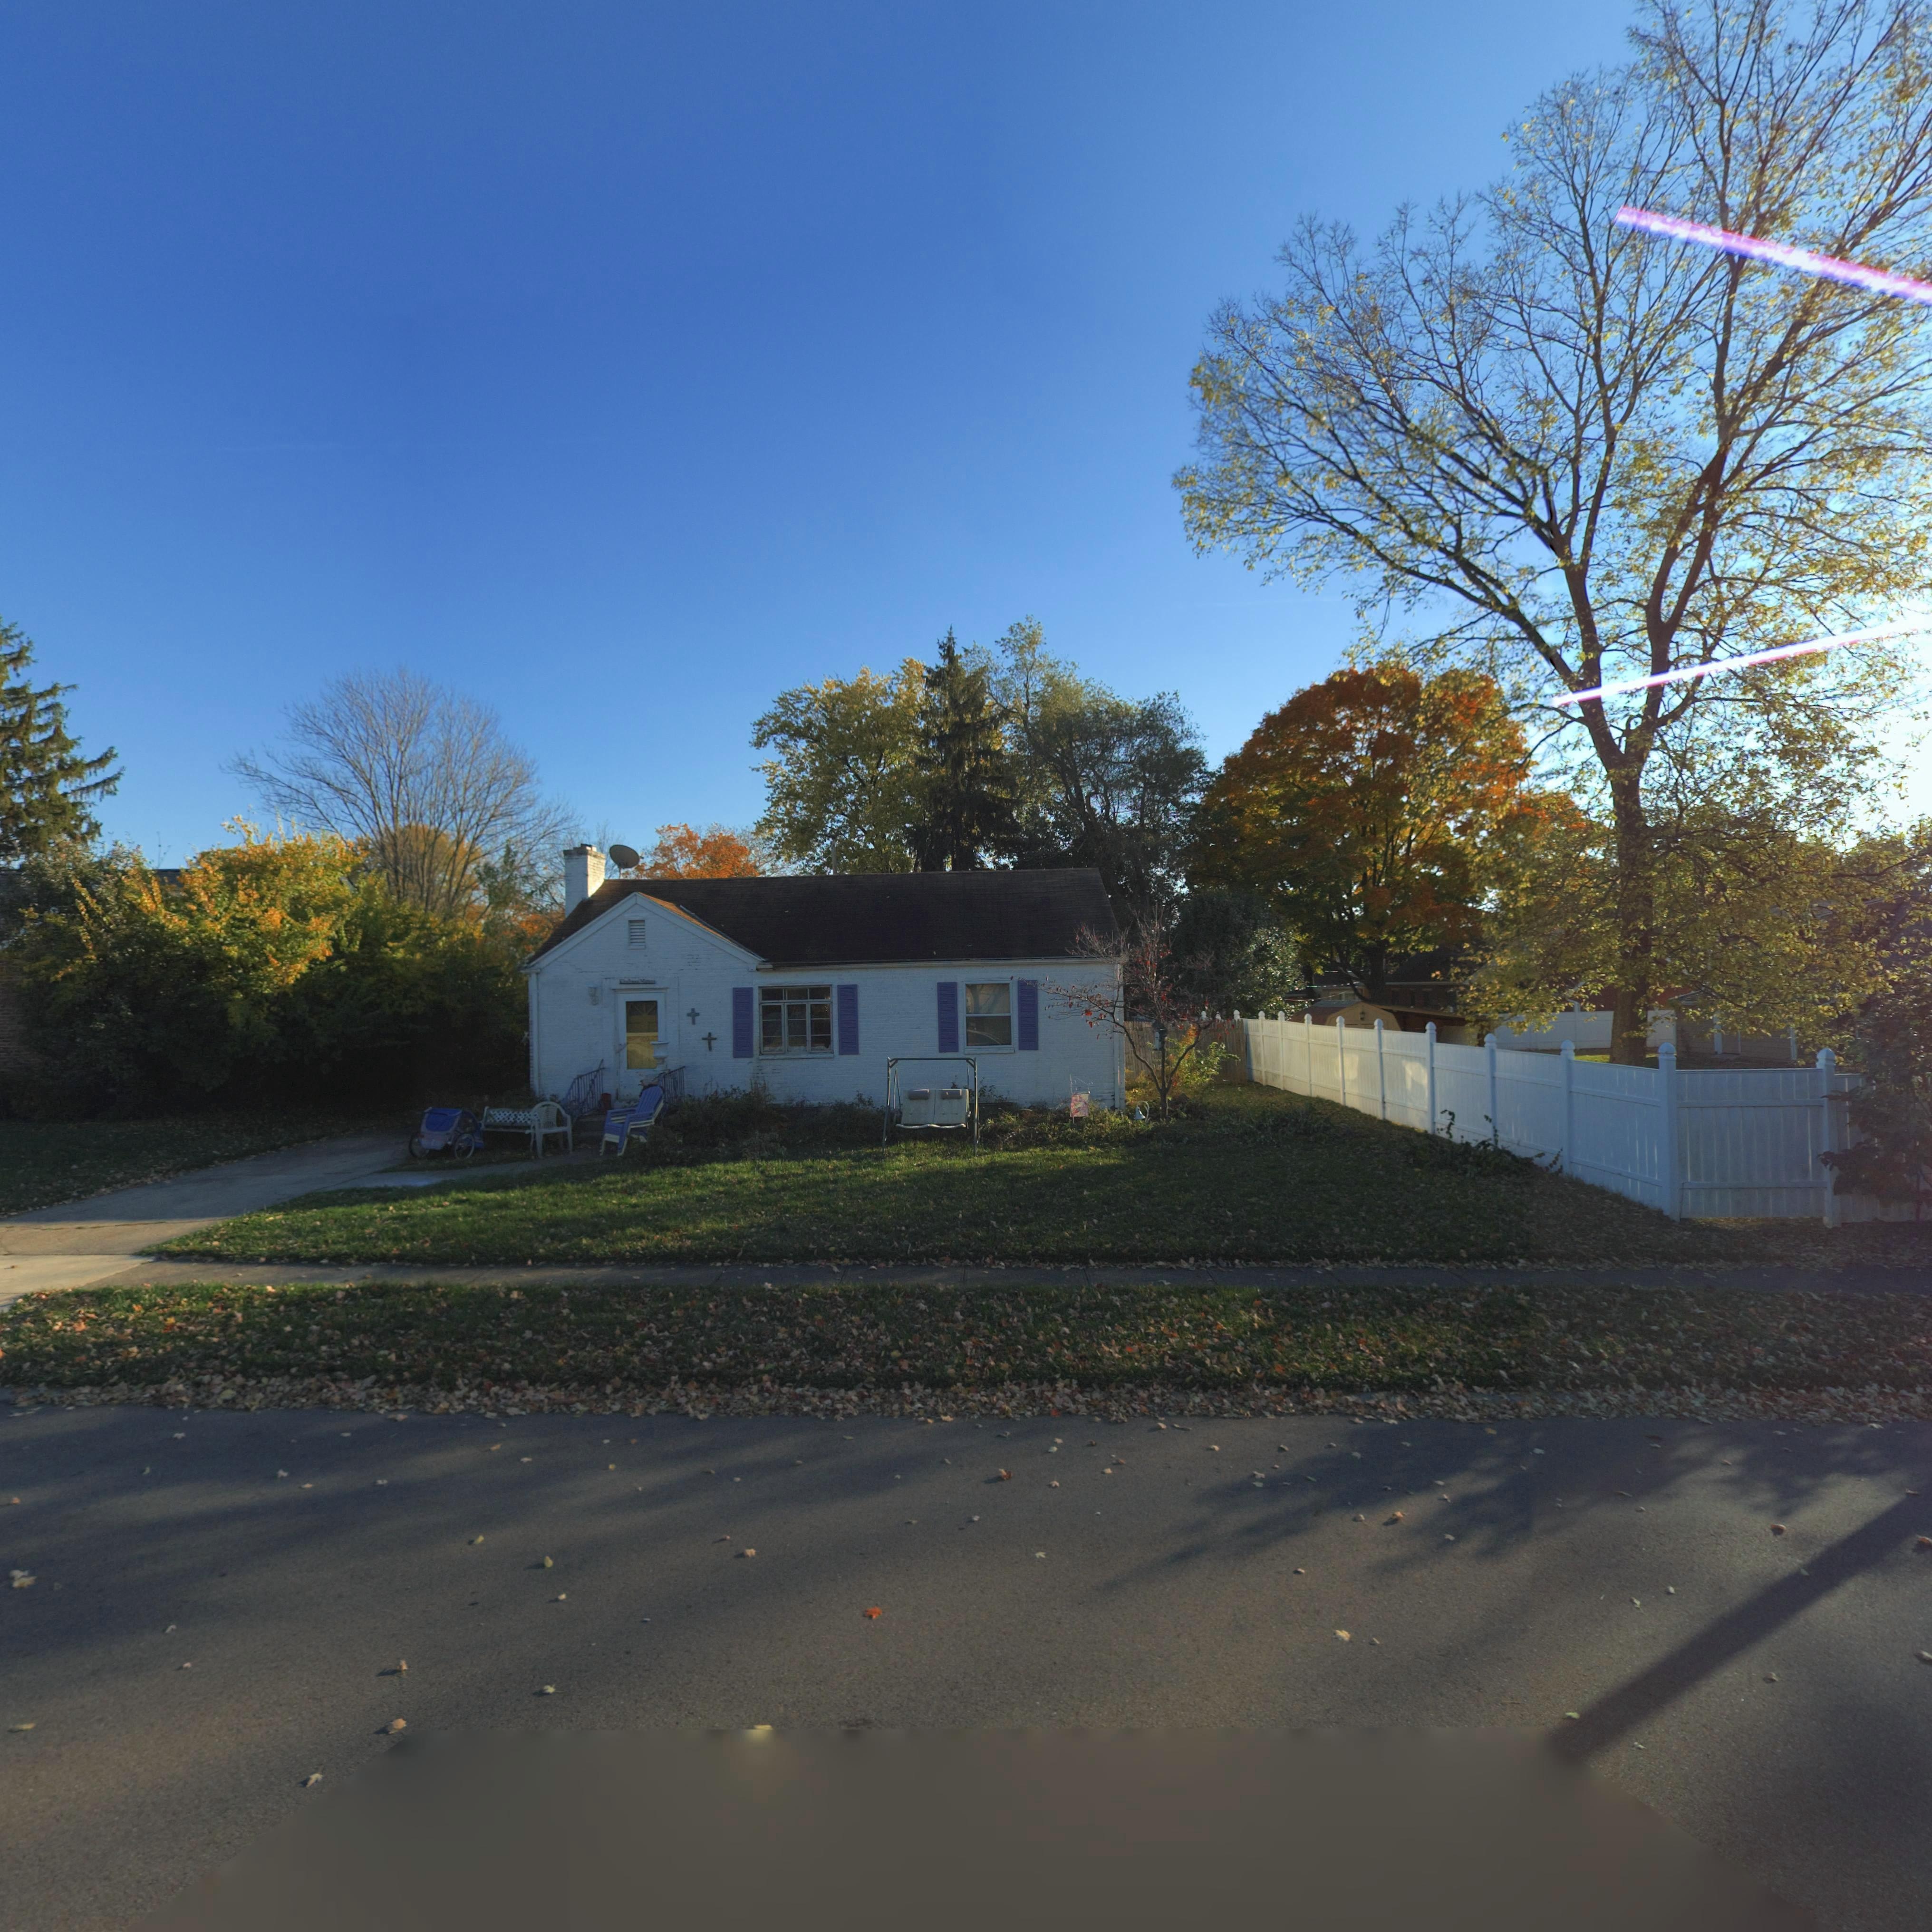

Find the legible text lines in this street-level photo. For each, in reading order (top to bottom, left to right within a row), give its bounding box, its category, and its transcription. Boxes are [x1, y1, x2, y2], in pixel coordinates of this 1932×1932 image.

[638, 1035, 650, 1042] StreetNumber: *00